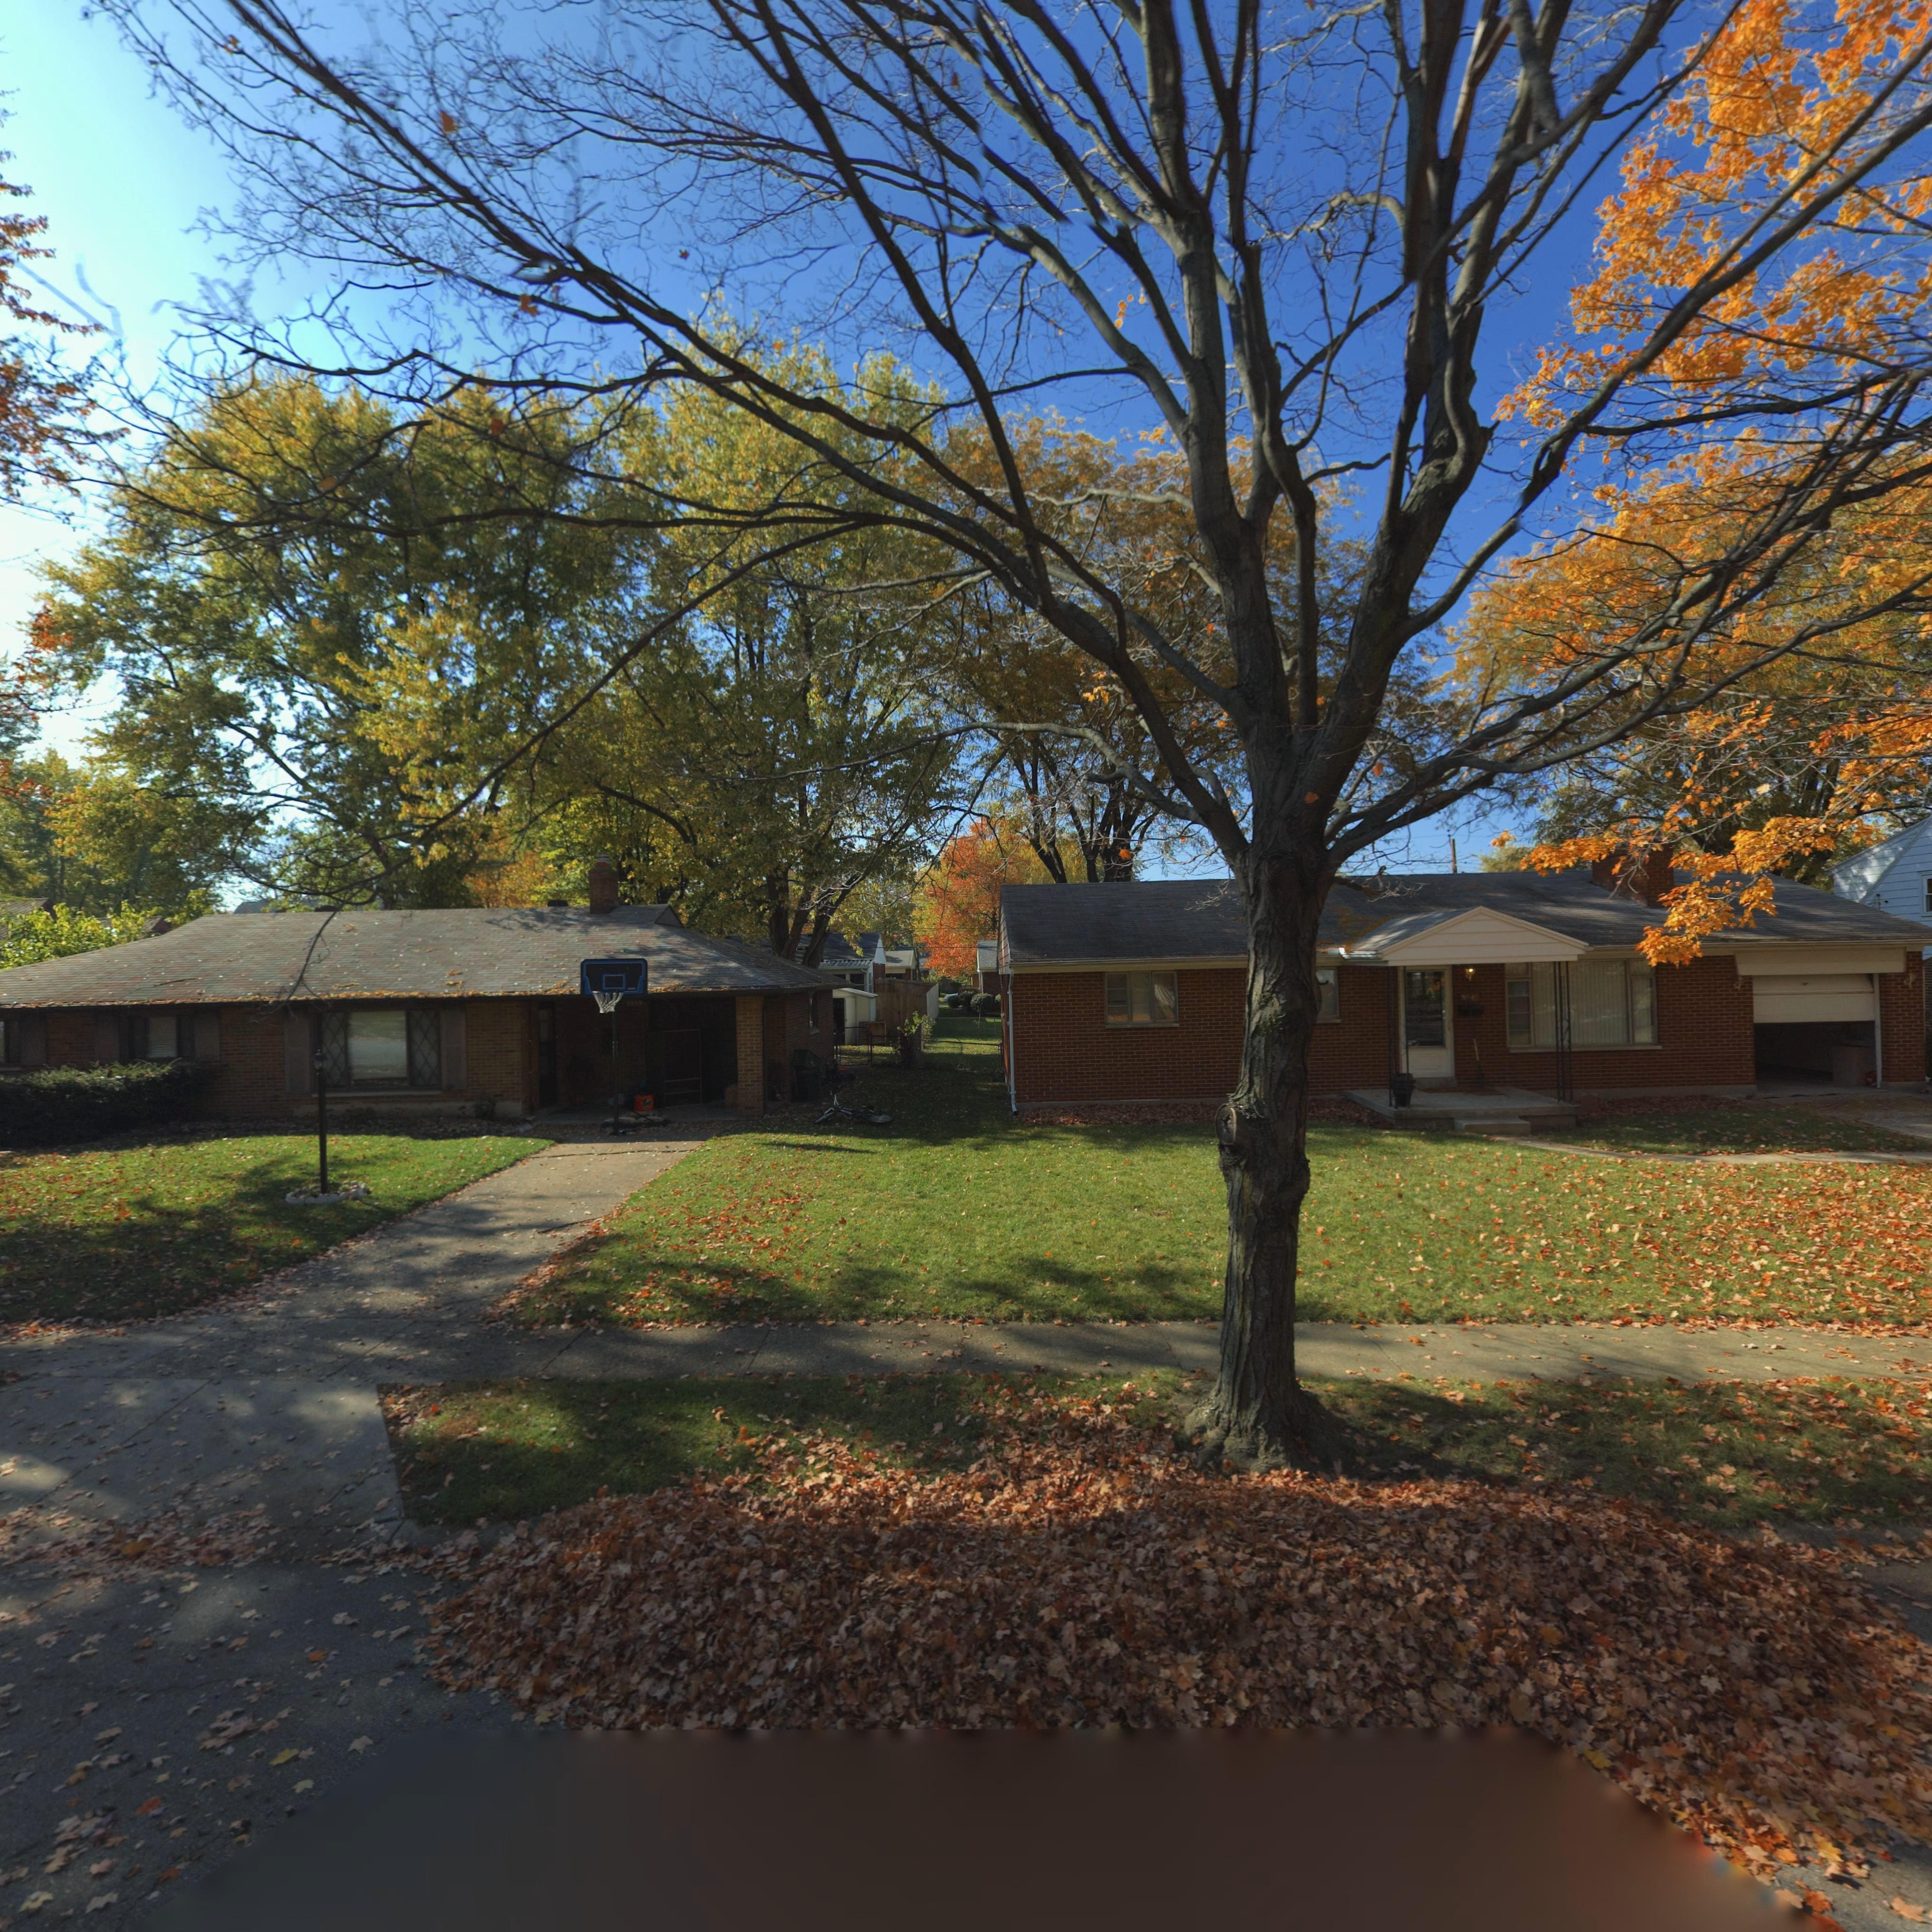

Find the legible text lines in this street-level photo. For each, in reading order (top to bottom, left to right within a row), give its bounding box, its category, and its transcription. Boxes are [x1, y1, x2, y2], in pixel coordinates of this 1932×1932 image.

[1459, 993, 1479, 1002] StreetNumber: 3***
[626, 999, 643, 1007] StreetNumber: ***9